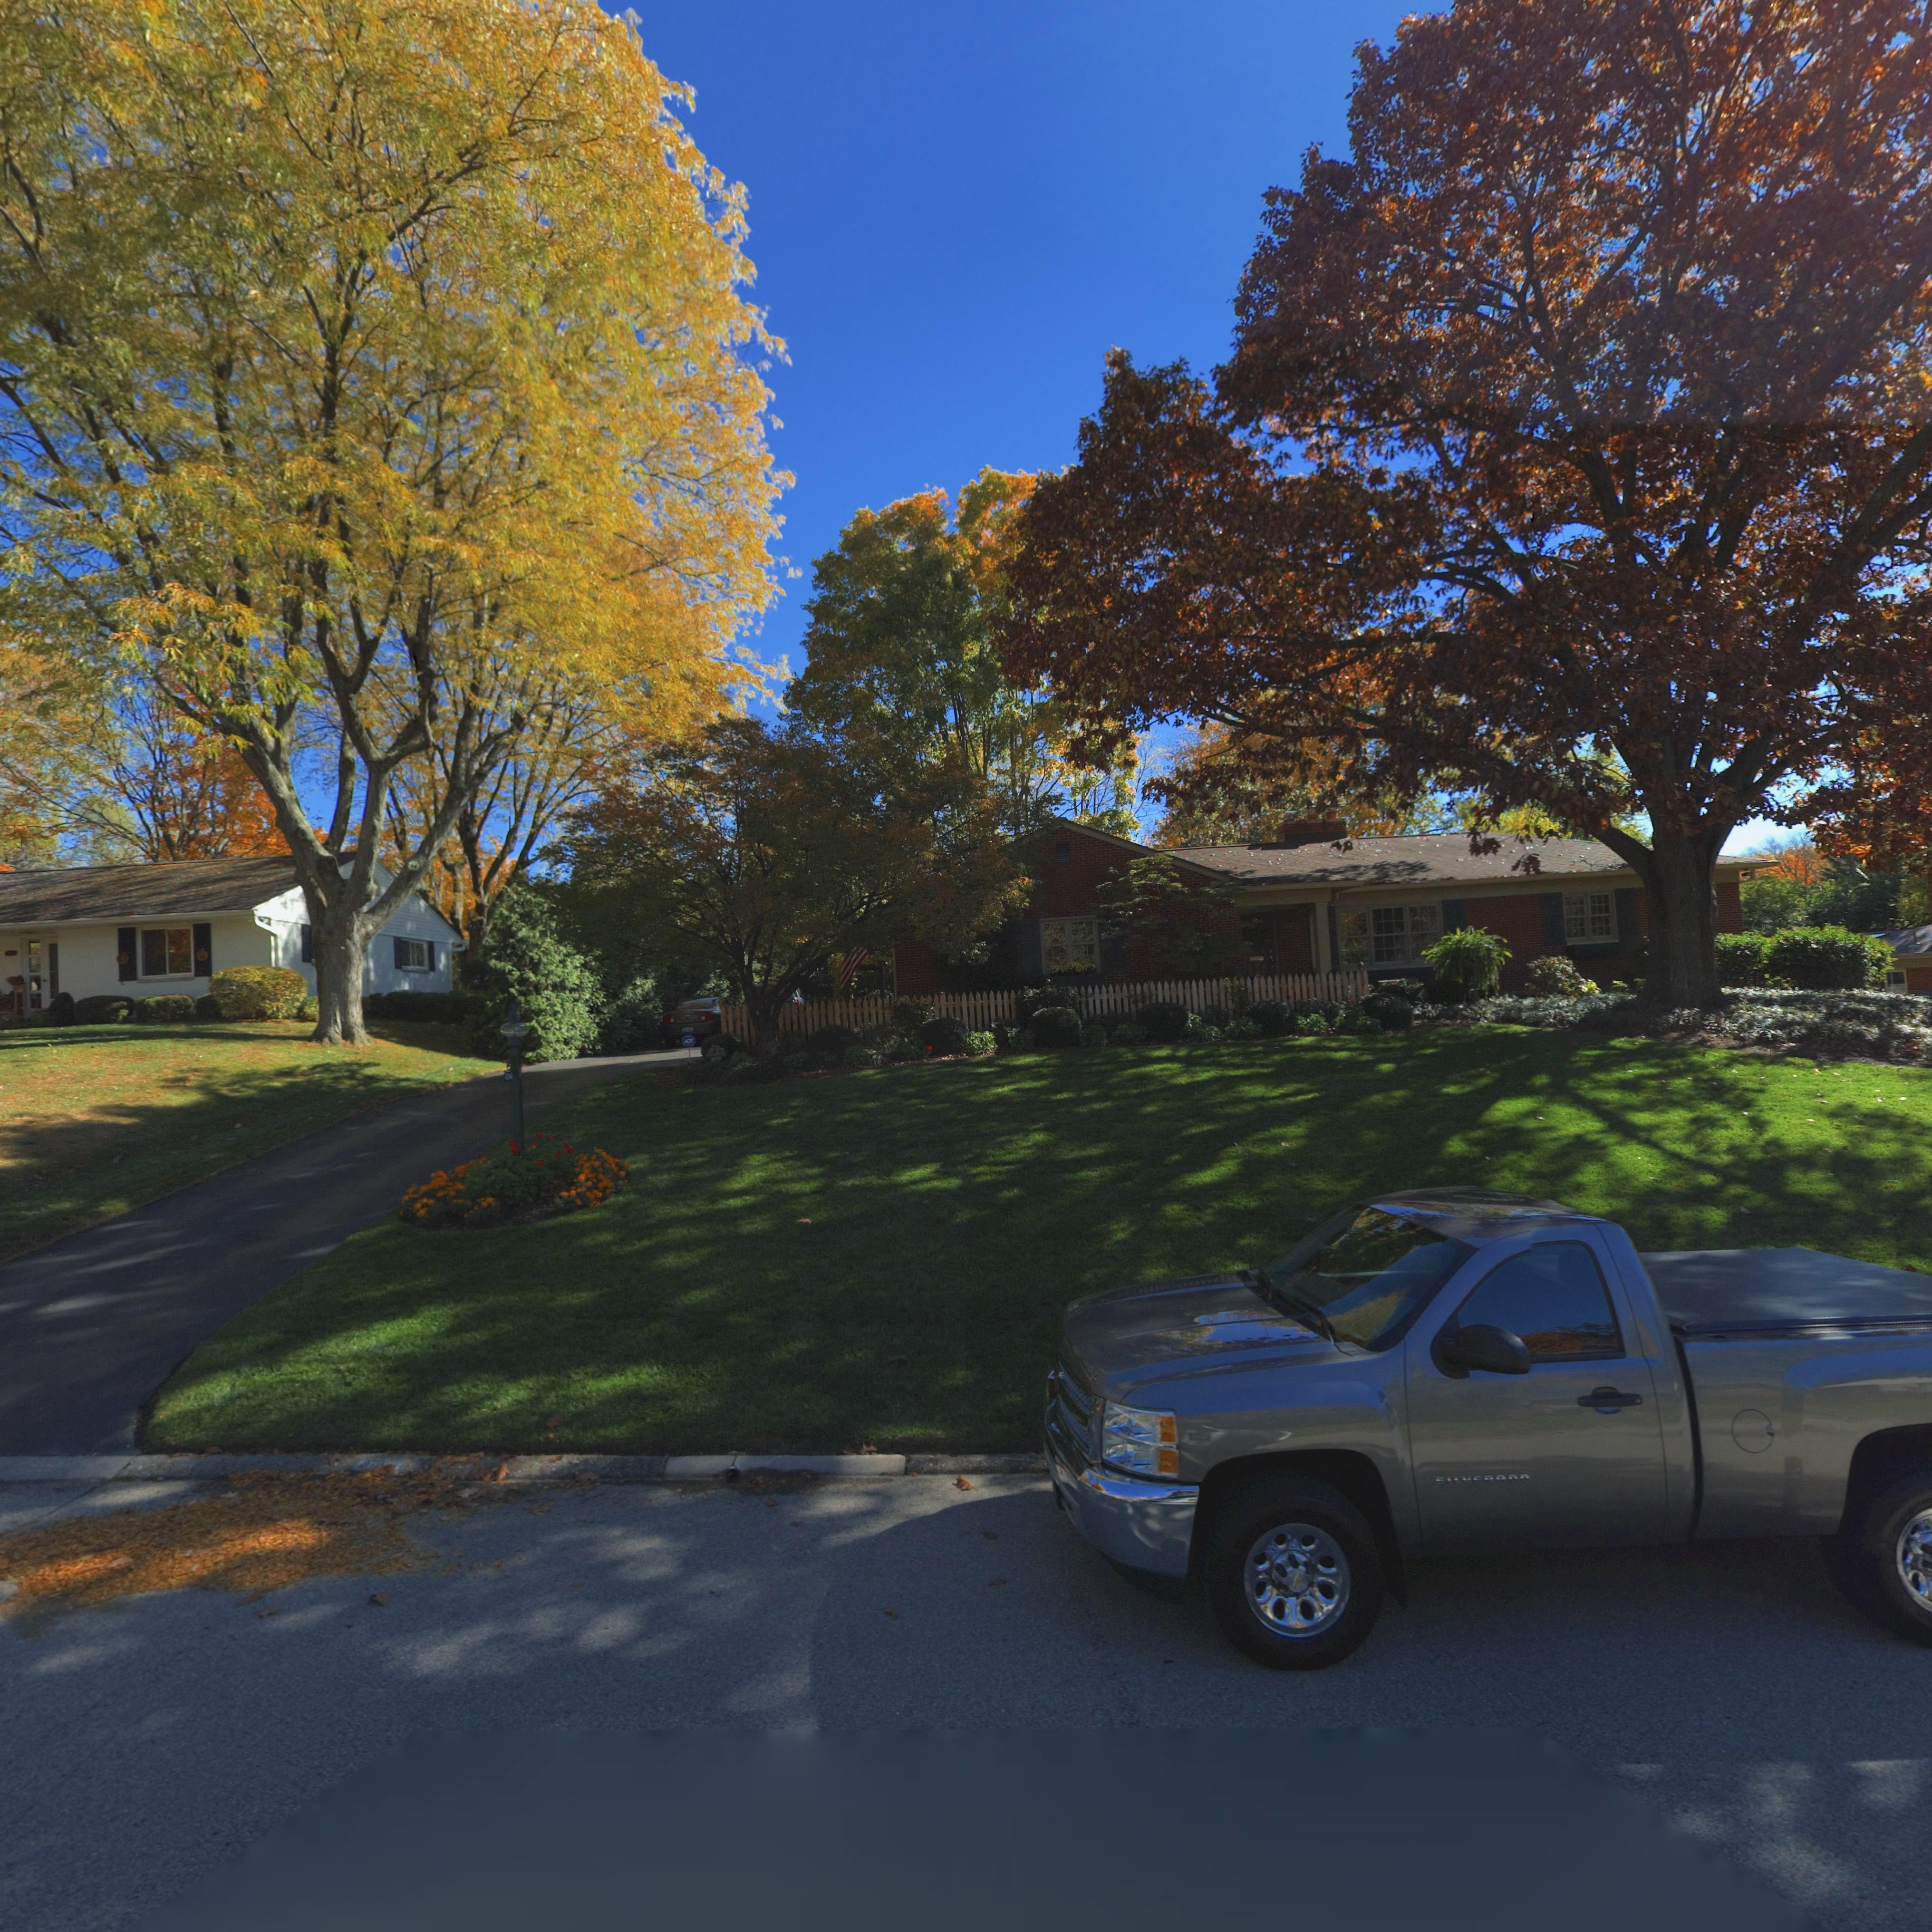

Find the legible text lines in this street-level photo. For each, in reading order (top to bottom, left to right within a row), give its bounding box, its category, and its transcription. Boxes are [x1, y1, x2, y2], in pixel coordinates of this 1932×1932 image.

[1283, 924, 1294, 929] StreetNumber: 4*44
[355, 1459, 373, 1471] StreetNumber: 4